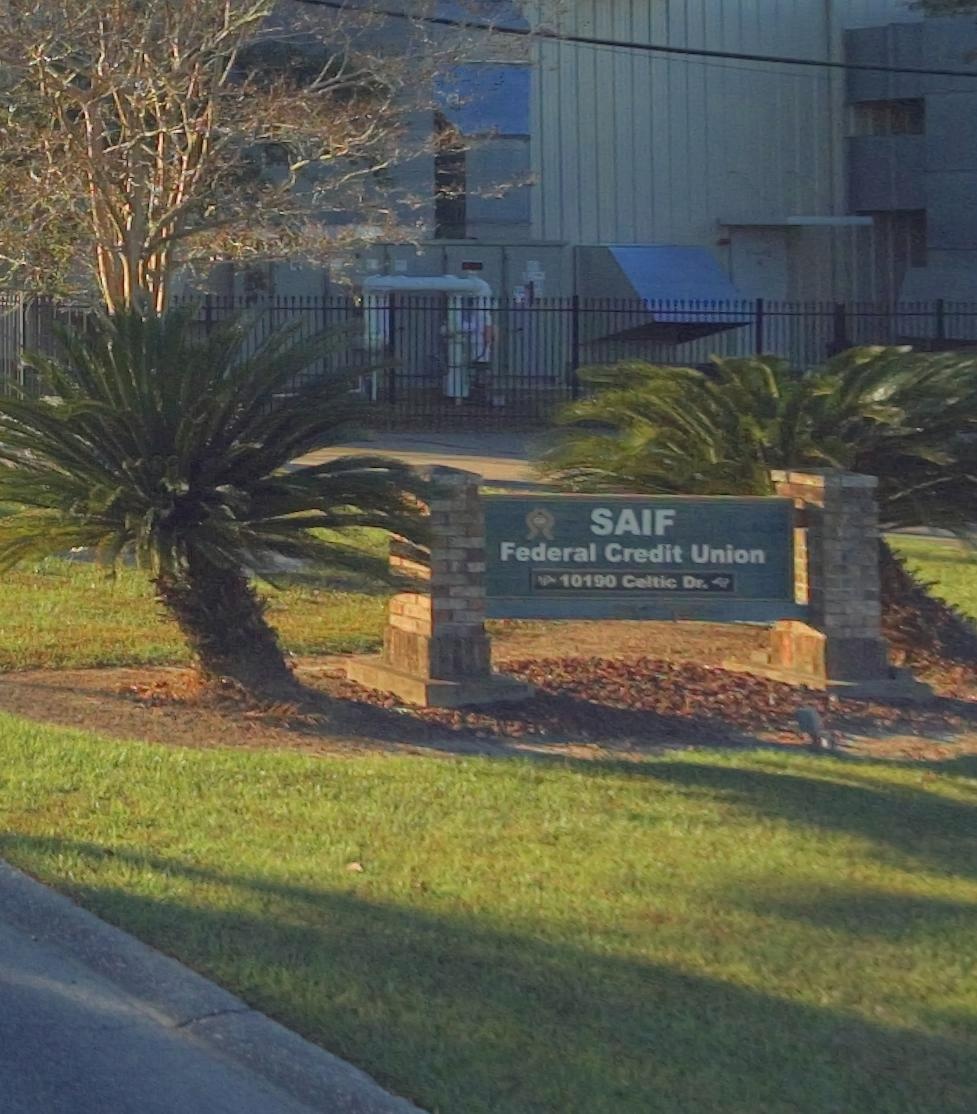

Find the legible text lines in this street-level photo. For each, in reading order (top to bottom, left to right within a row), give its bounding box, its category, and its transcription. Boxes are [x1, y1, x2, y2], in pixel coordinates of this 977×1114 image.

[586, 505, 679, 539] None: SAIF
[497, 539, 768, 567] BusinessName: Federal Credit Union
[556, 571, 620, 591] StreetNumber: 10190
[619, 571, 712, 592] StreetName: Celtic Dr.